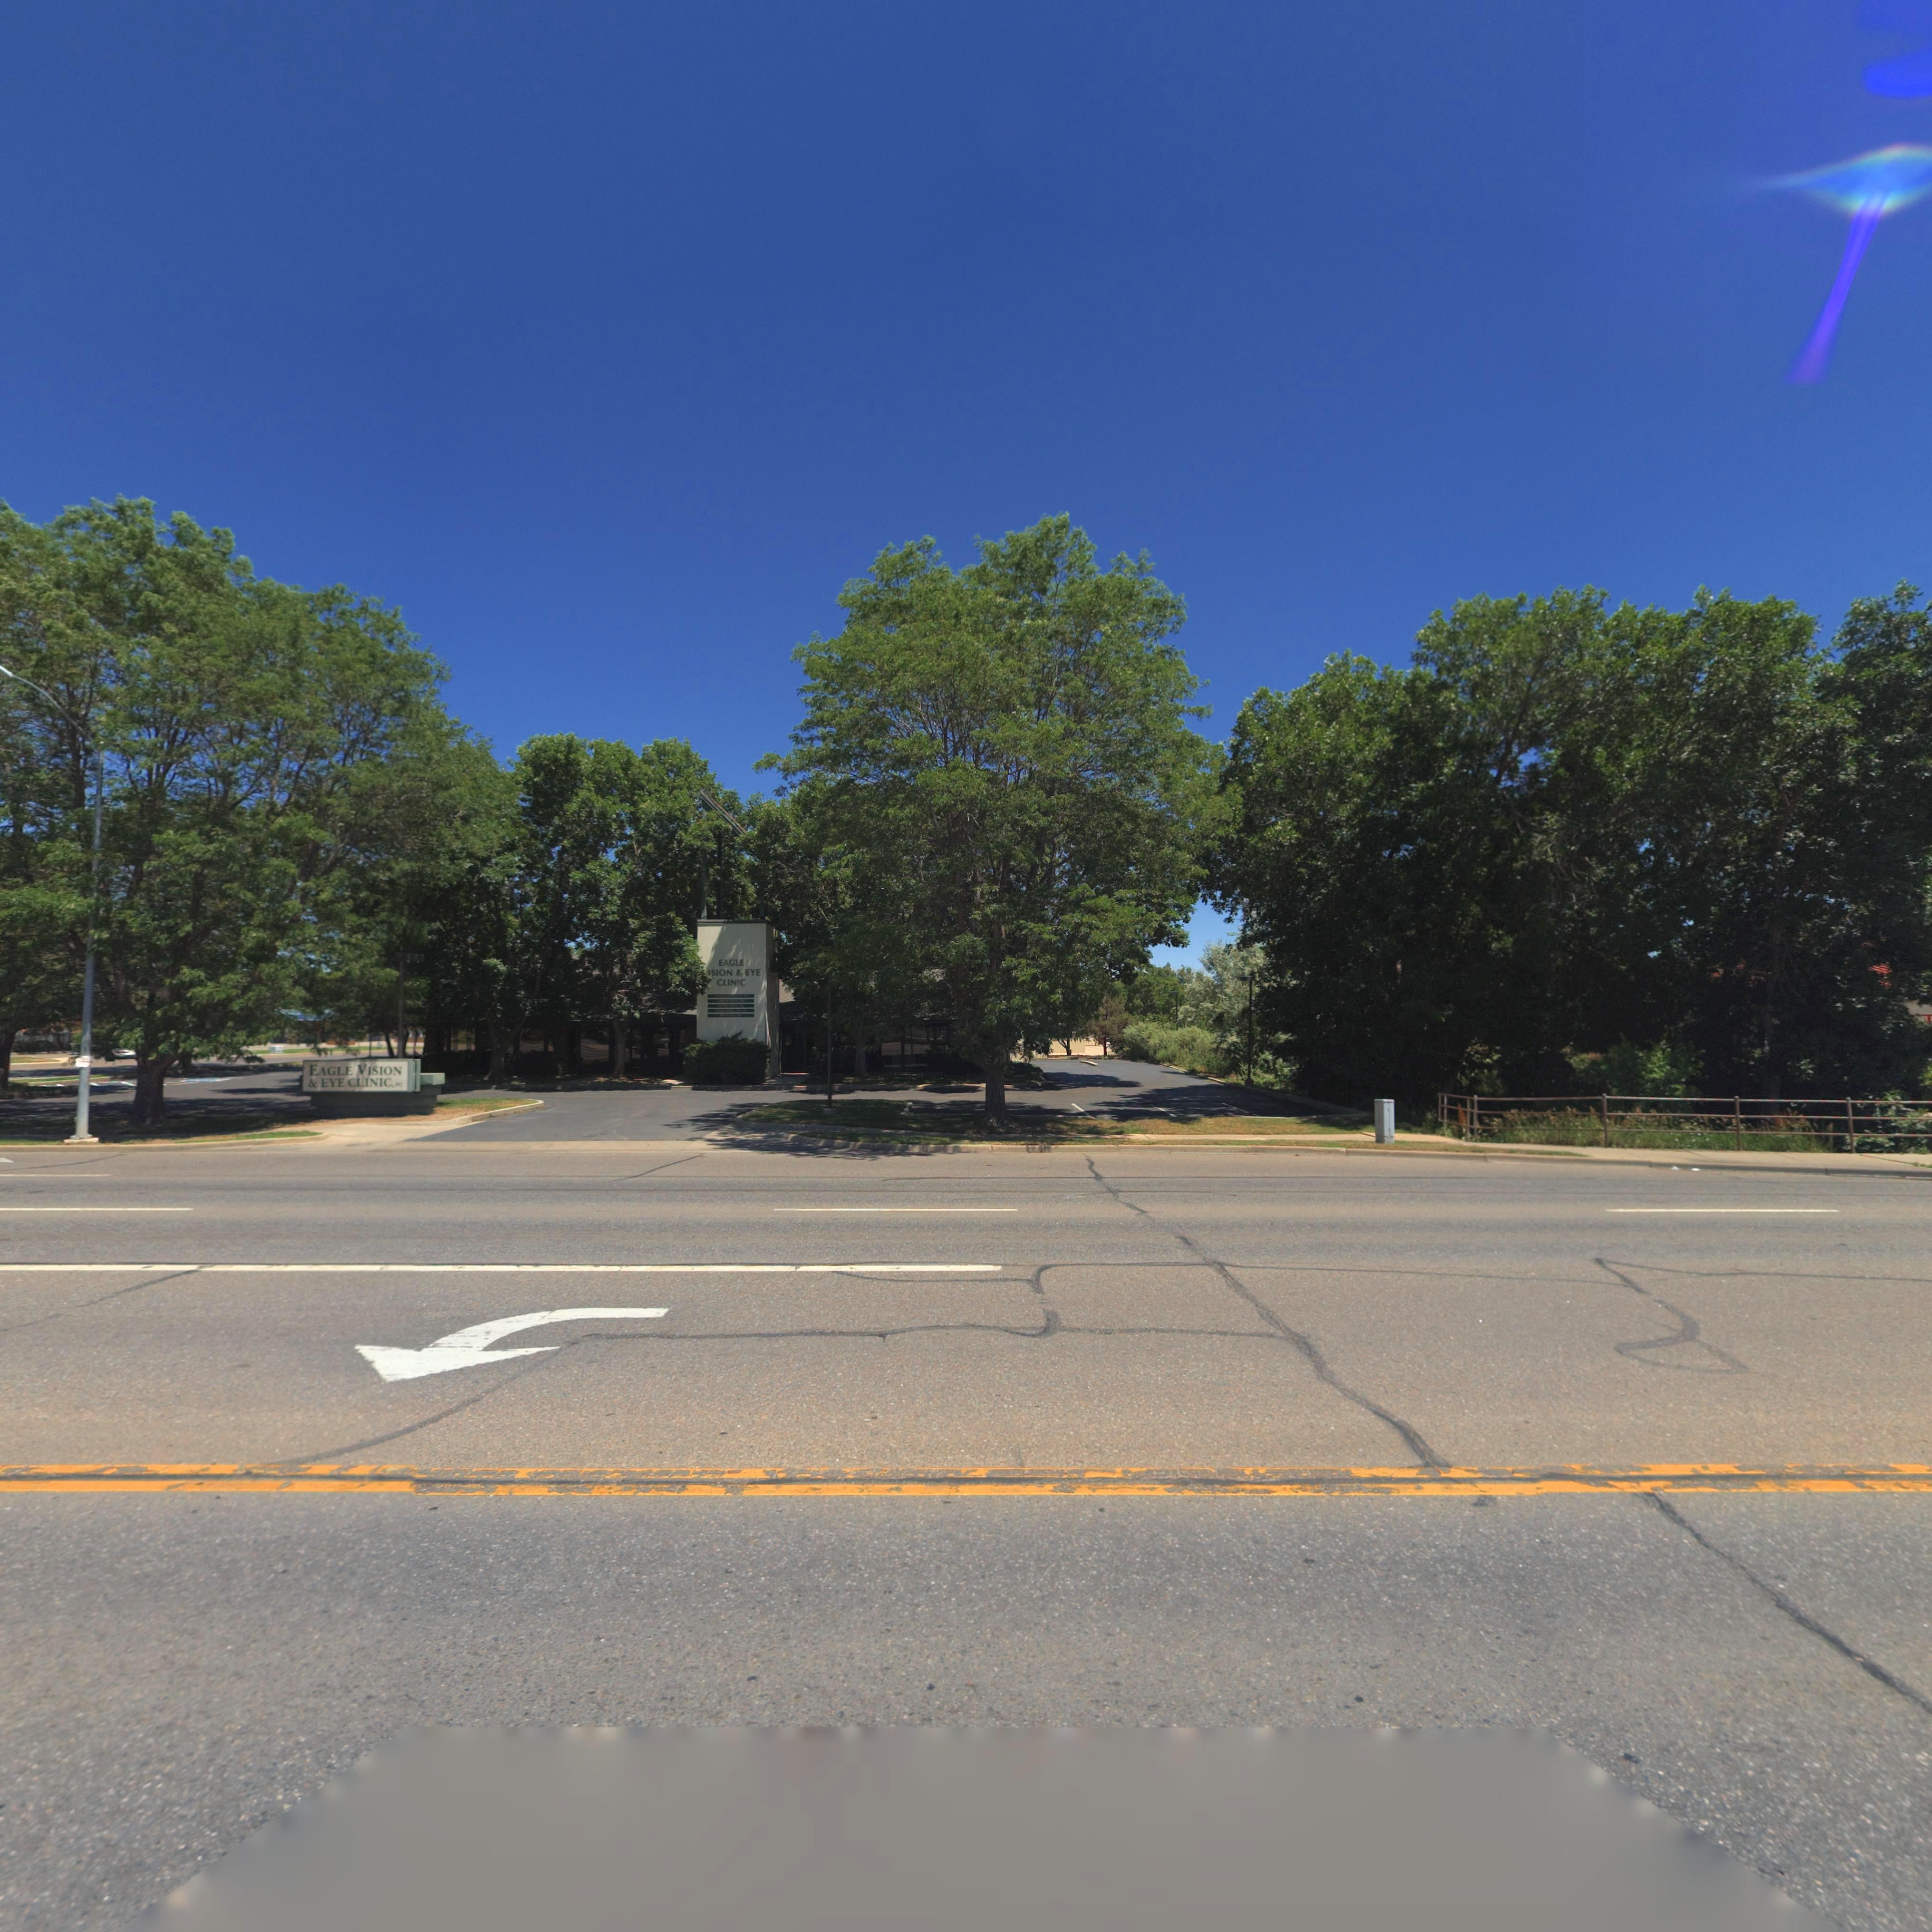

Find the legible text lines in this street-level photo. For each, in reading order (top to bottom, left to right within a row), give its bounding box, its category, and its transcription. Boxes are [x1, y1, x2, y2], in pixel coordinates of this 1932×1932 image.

[718, 959, 744, 966] BusinessName: EAGLE
[707, 969, 761, 976] BusinessName: ISION & EYE
[716, 978, 746, 986] BusinessName: CLINIC
[308, 1063, 402, 1076] BusinessName: EAGLE VISION
[307, 1077, 404, 1089] BusinessName: & EYE CLINIC, P*